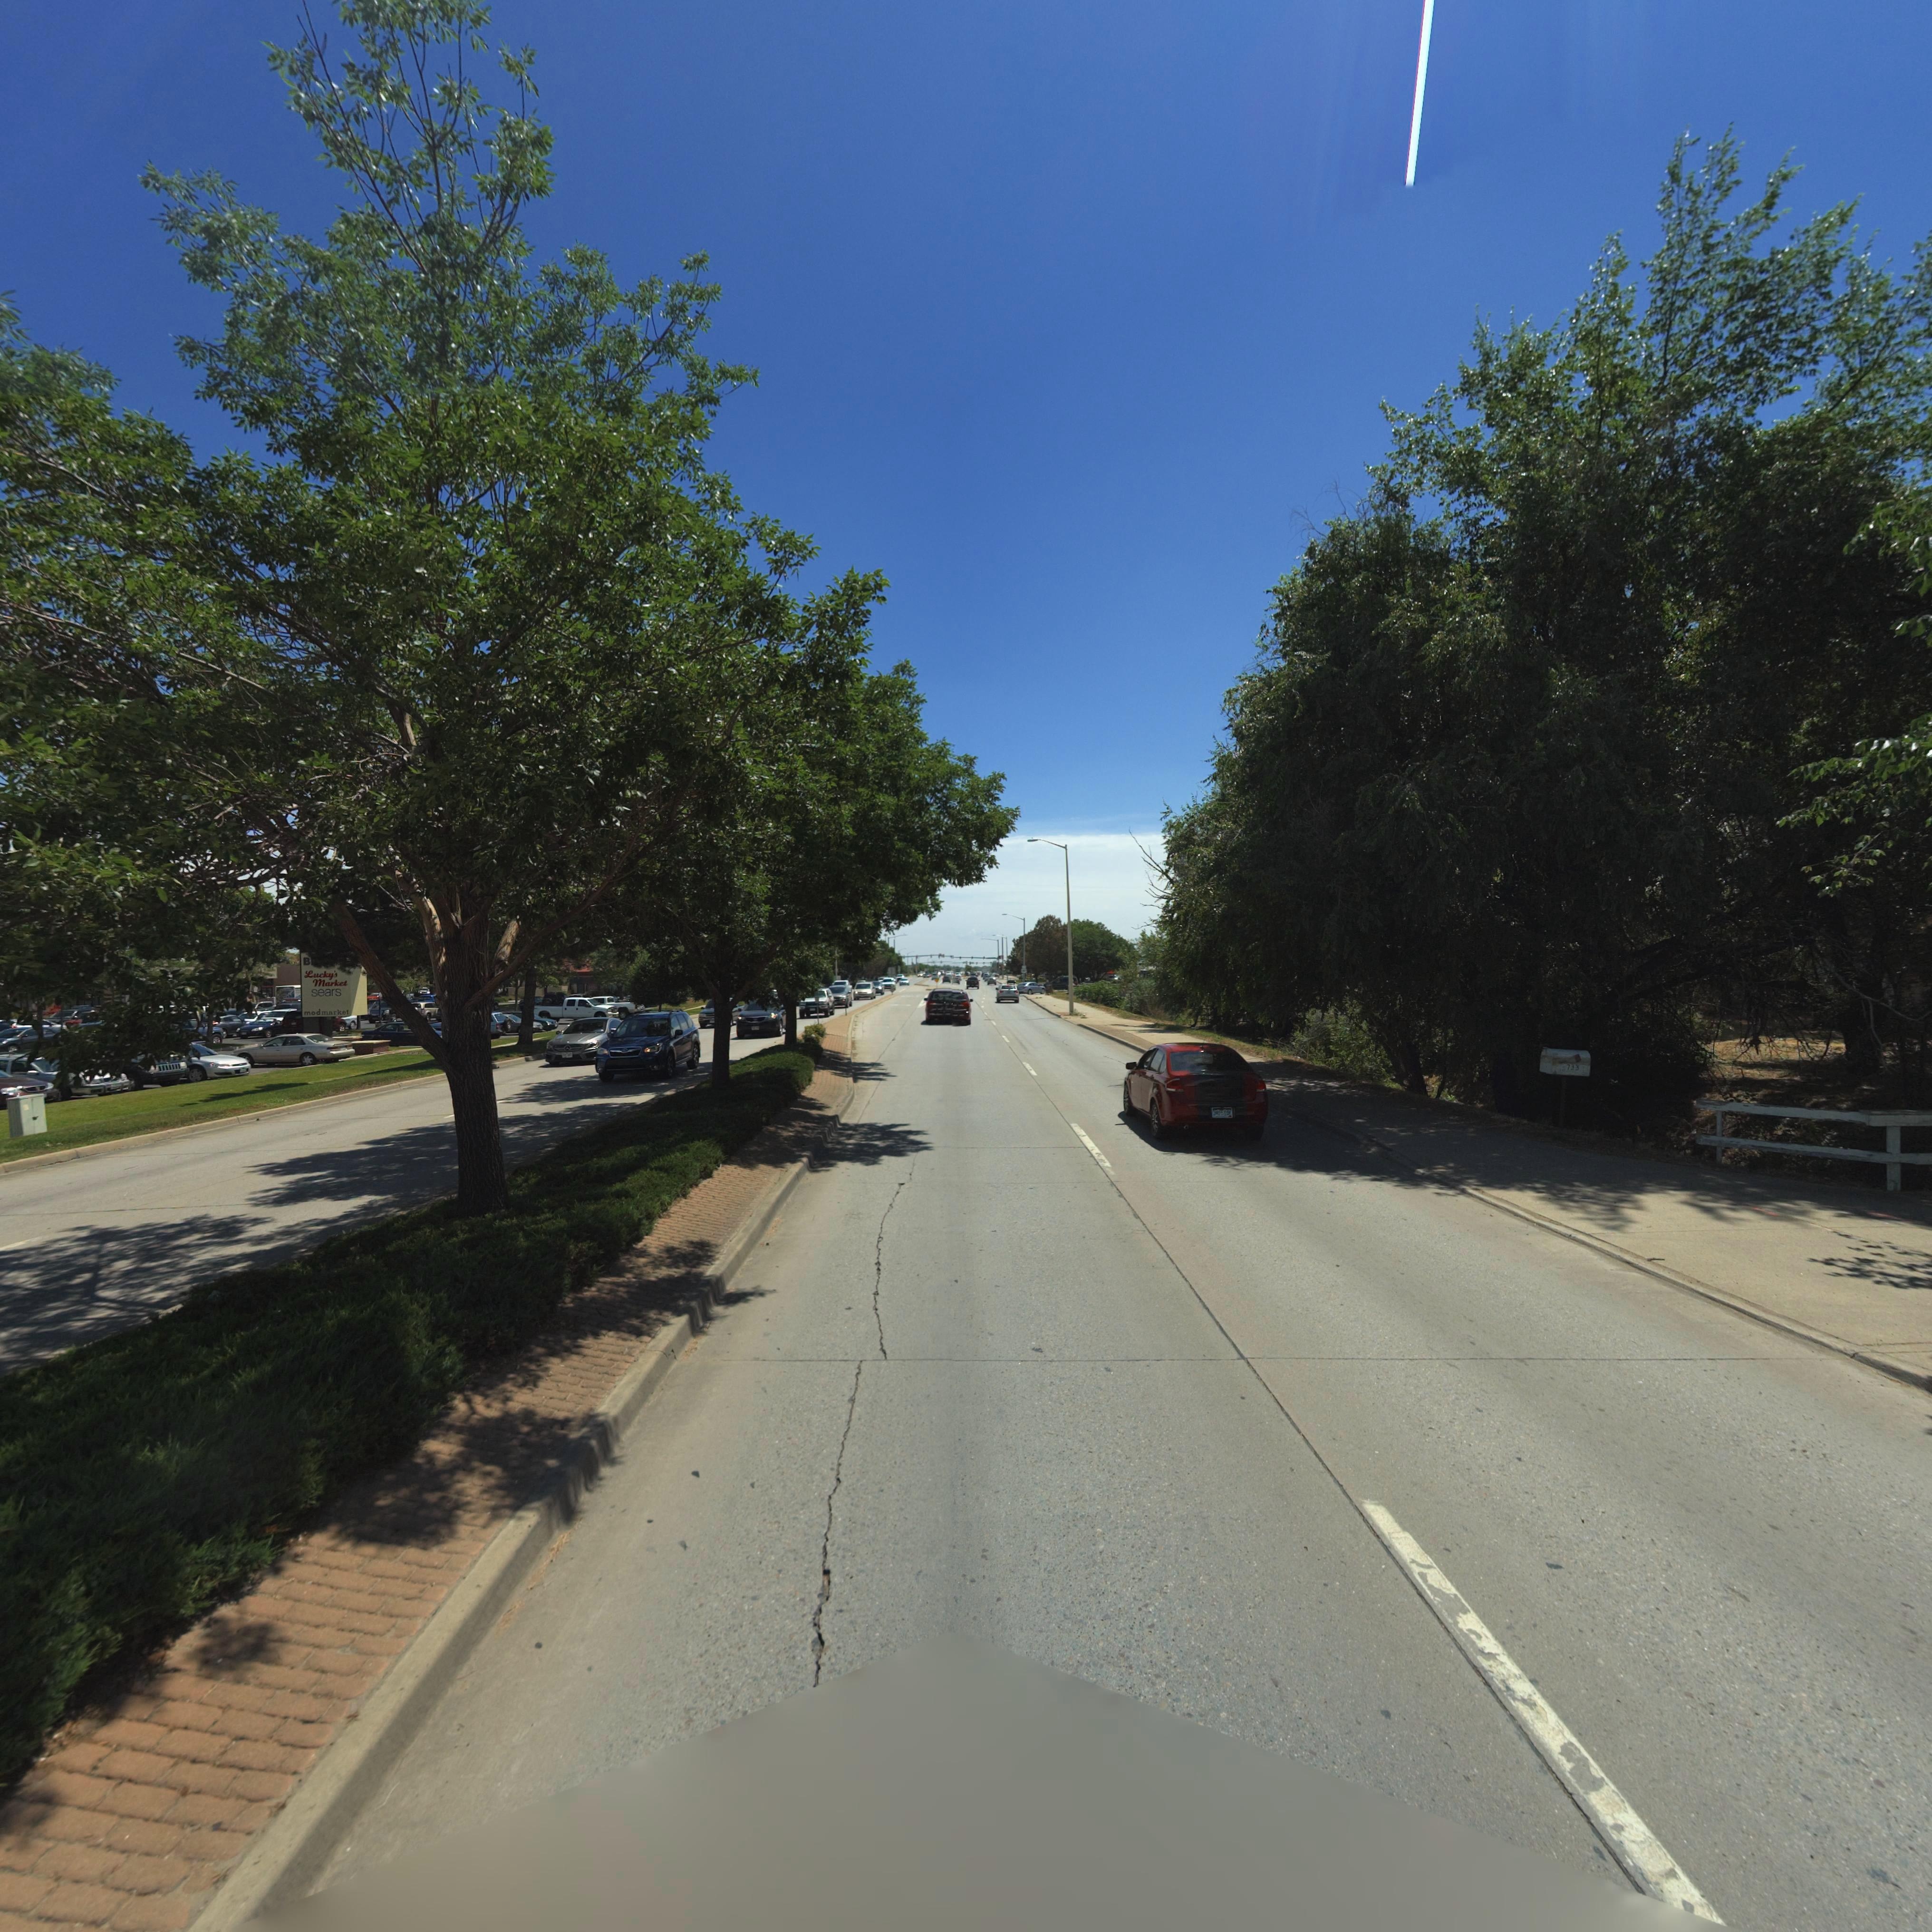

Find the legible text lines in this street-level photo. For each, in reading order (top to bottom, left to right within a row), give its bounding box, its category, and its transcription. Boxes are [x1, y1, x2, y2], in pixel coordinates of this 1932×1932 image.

[303, 956, 311, 966] BusinessName: B
[303, 969, 338, 981] BusinessName: Lucky's
[312, 978, 348, 986] BusinessName: Market
[310, 988, 342, 996] BusinessName: sears
[304, 1008, 349, 1015] BusinessName: modmarket
[1566, 1064, 1579, 1071] StreetNumber: 733